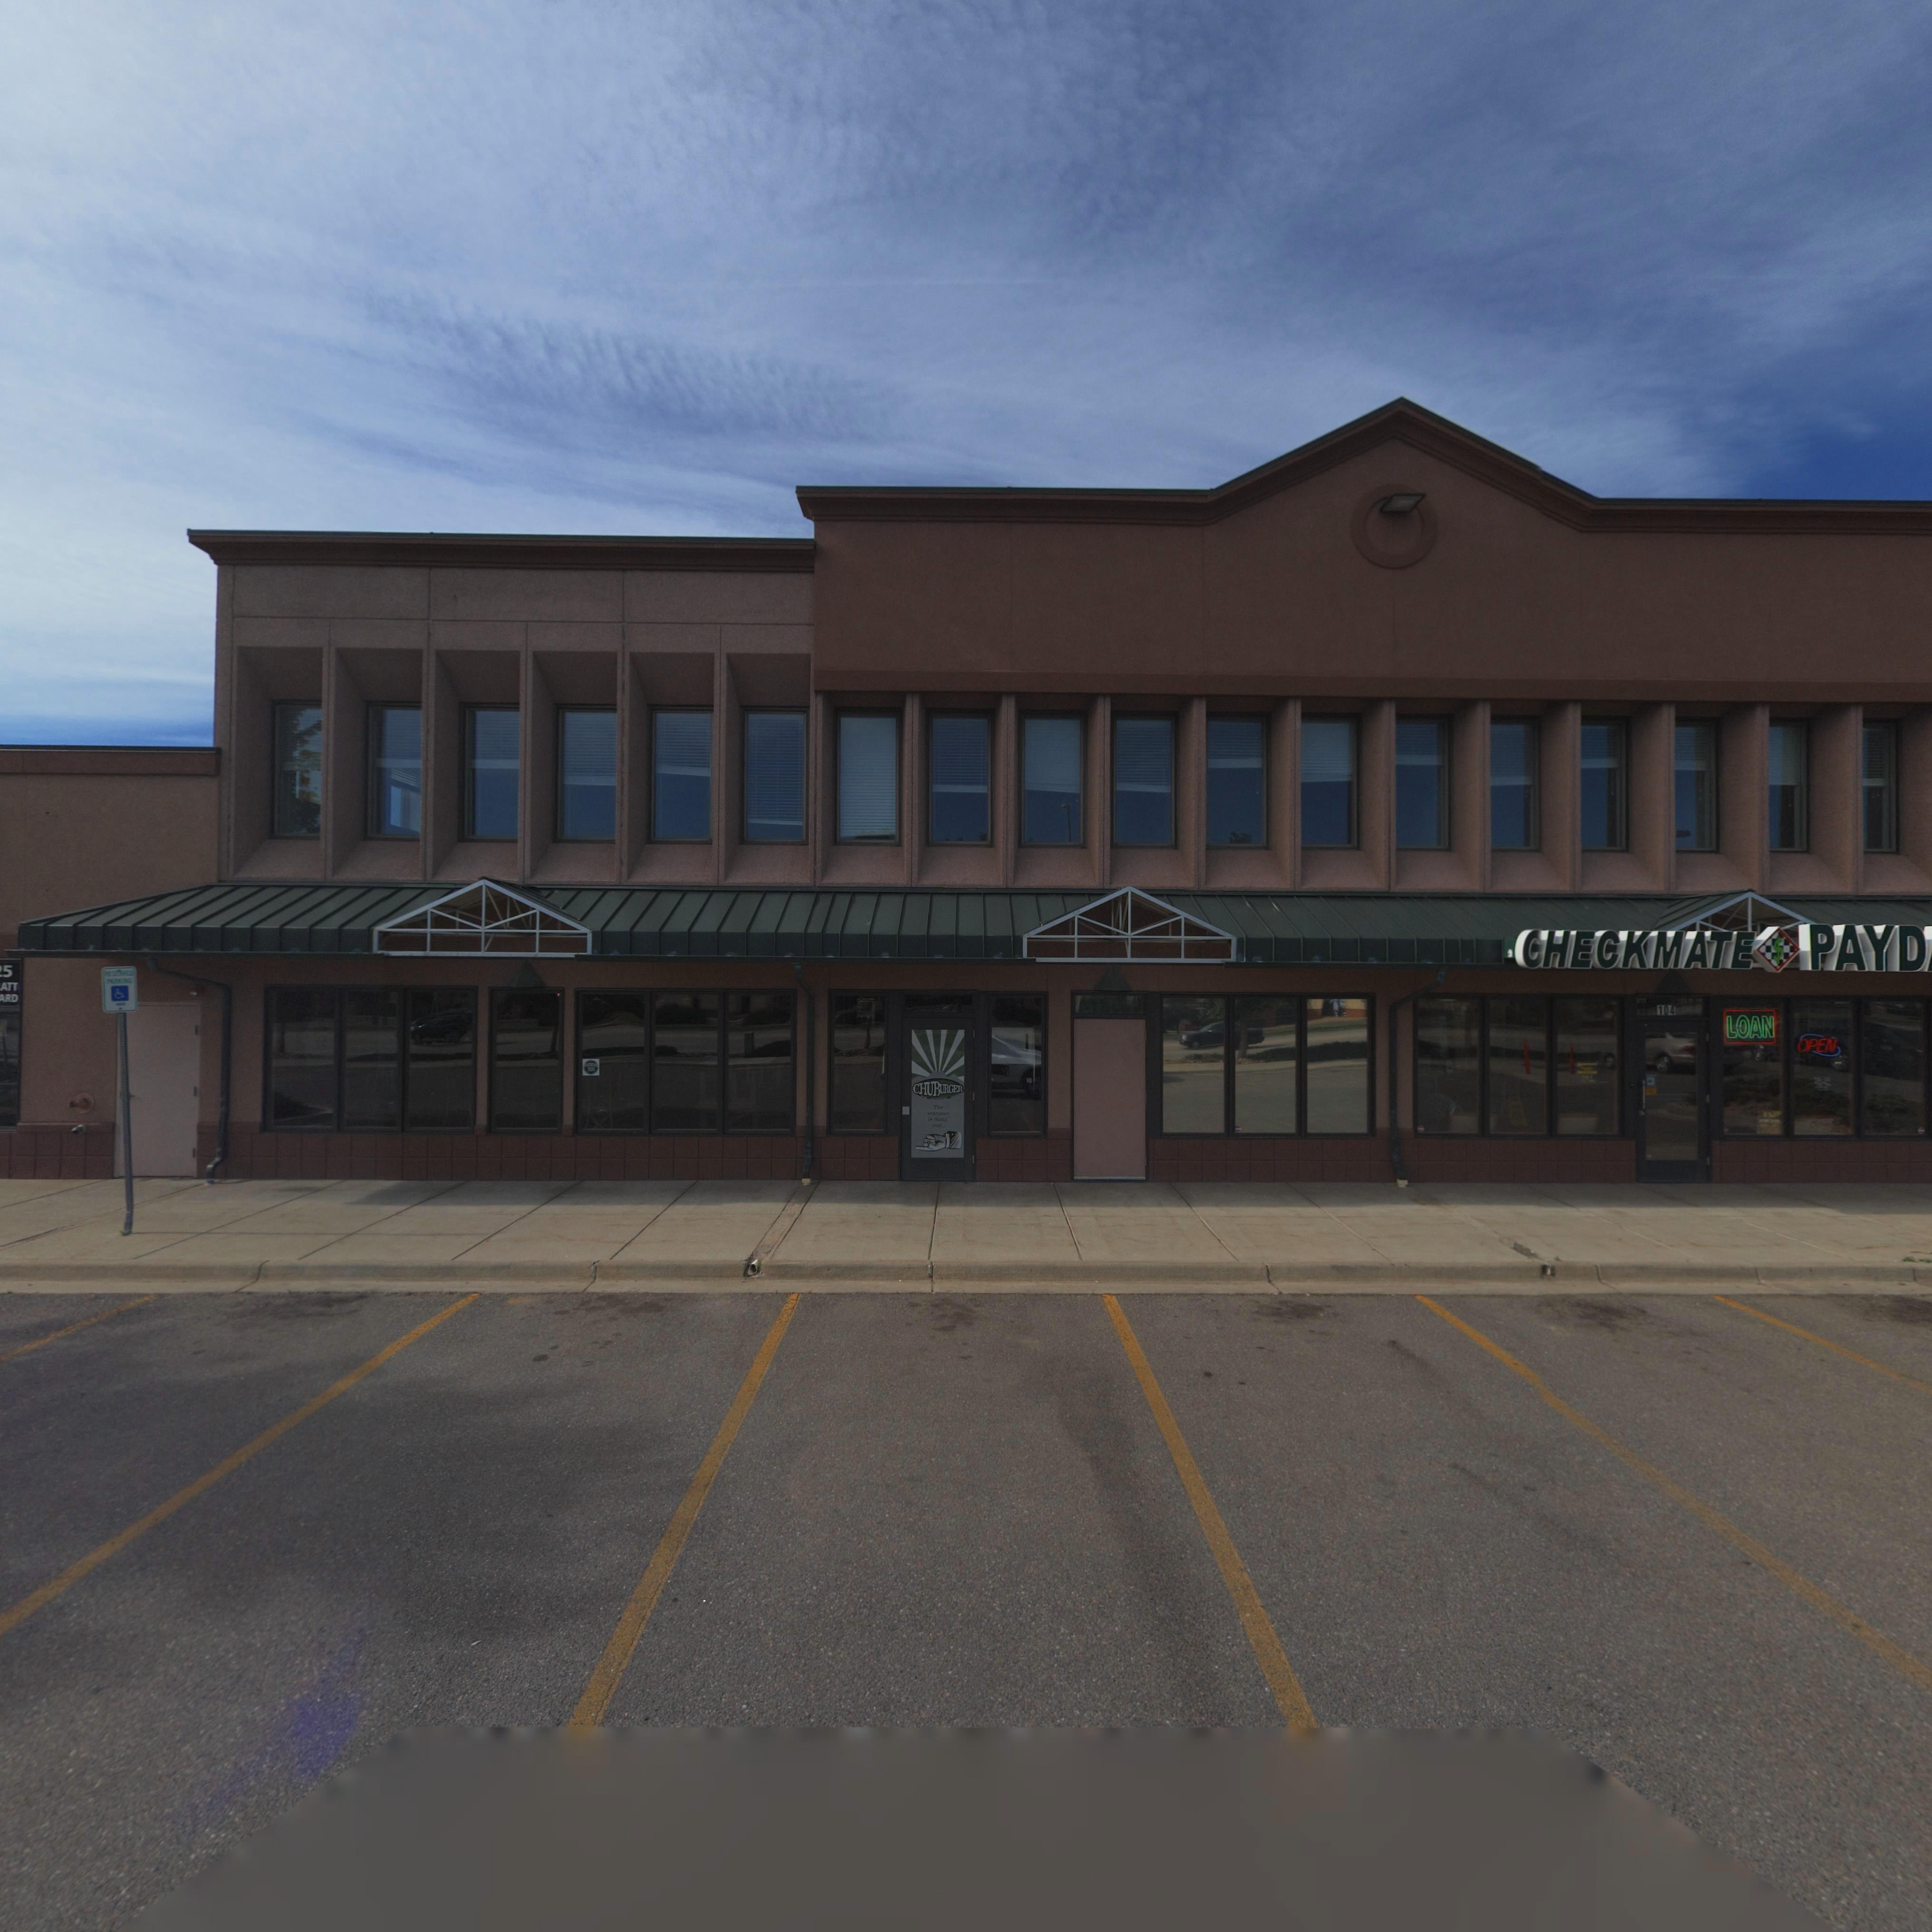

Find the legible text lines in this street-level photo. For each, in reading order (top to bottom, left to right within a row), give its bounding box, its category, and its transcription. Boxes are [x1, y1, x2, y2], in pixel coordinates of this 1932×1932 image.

[1515, 924, 1929, 972] BusinessName: CHECKMATE*PAYD
[1, 965, 12, 977] StreetNumber: 5
[1, 982, 18, 991] StreetName: ATT
[0, 994, 18, 1003] StreetName: *RD
[1658, 1005, 1675, 1015] StreetNumber: 104
[912, 1080, 964, 1097] BusinessName: CHUBURGER